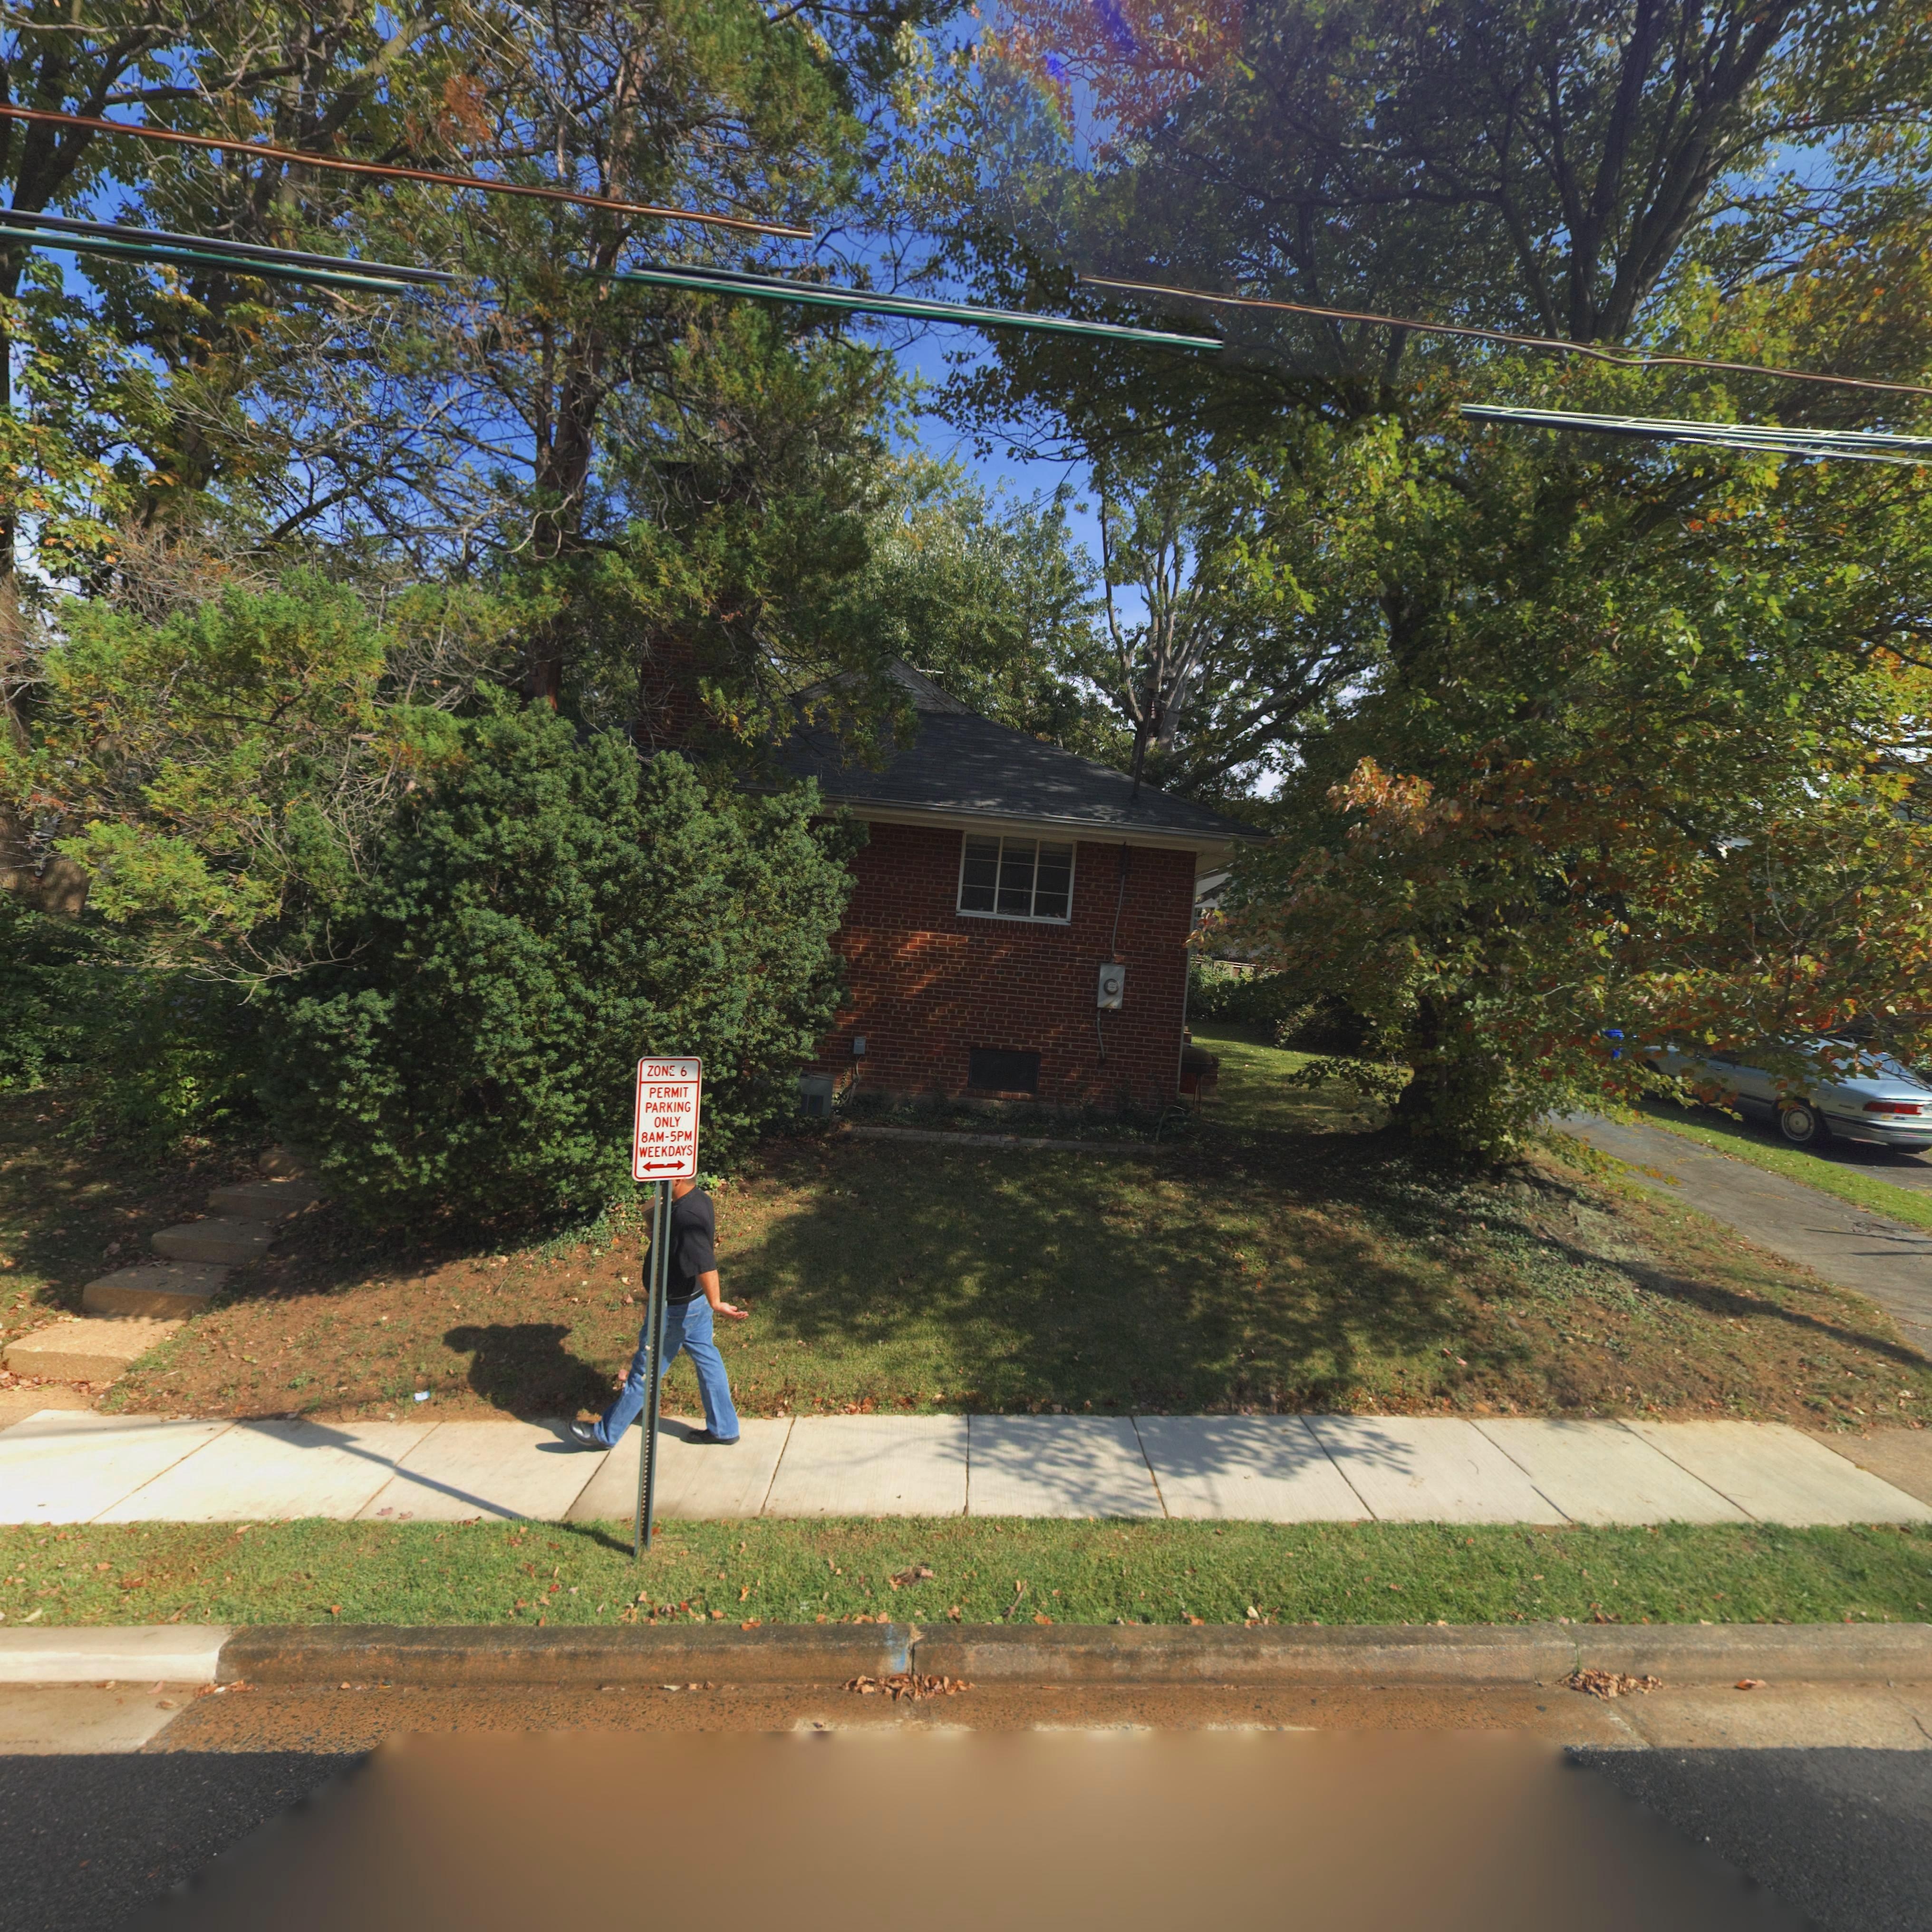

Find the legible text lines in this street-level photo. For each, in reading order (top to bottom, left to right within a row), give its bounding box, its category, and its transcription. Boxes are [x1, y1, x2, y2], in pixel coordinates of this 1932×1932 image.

[645, 1064, 689, 1078] None: ZONE 6
[647, 1085, 691, 1100] None: PERMIT
[643, 1100, 693, 1114] None: PARKING
[653, 1114, 683, 1130] None: ONLY
[640, 1128, 694, 1145] None: 8AM-5PM
[638, 1143, 695, 1159] None: WEEKDAYS